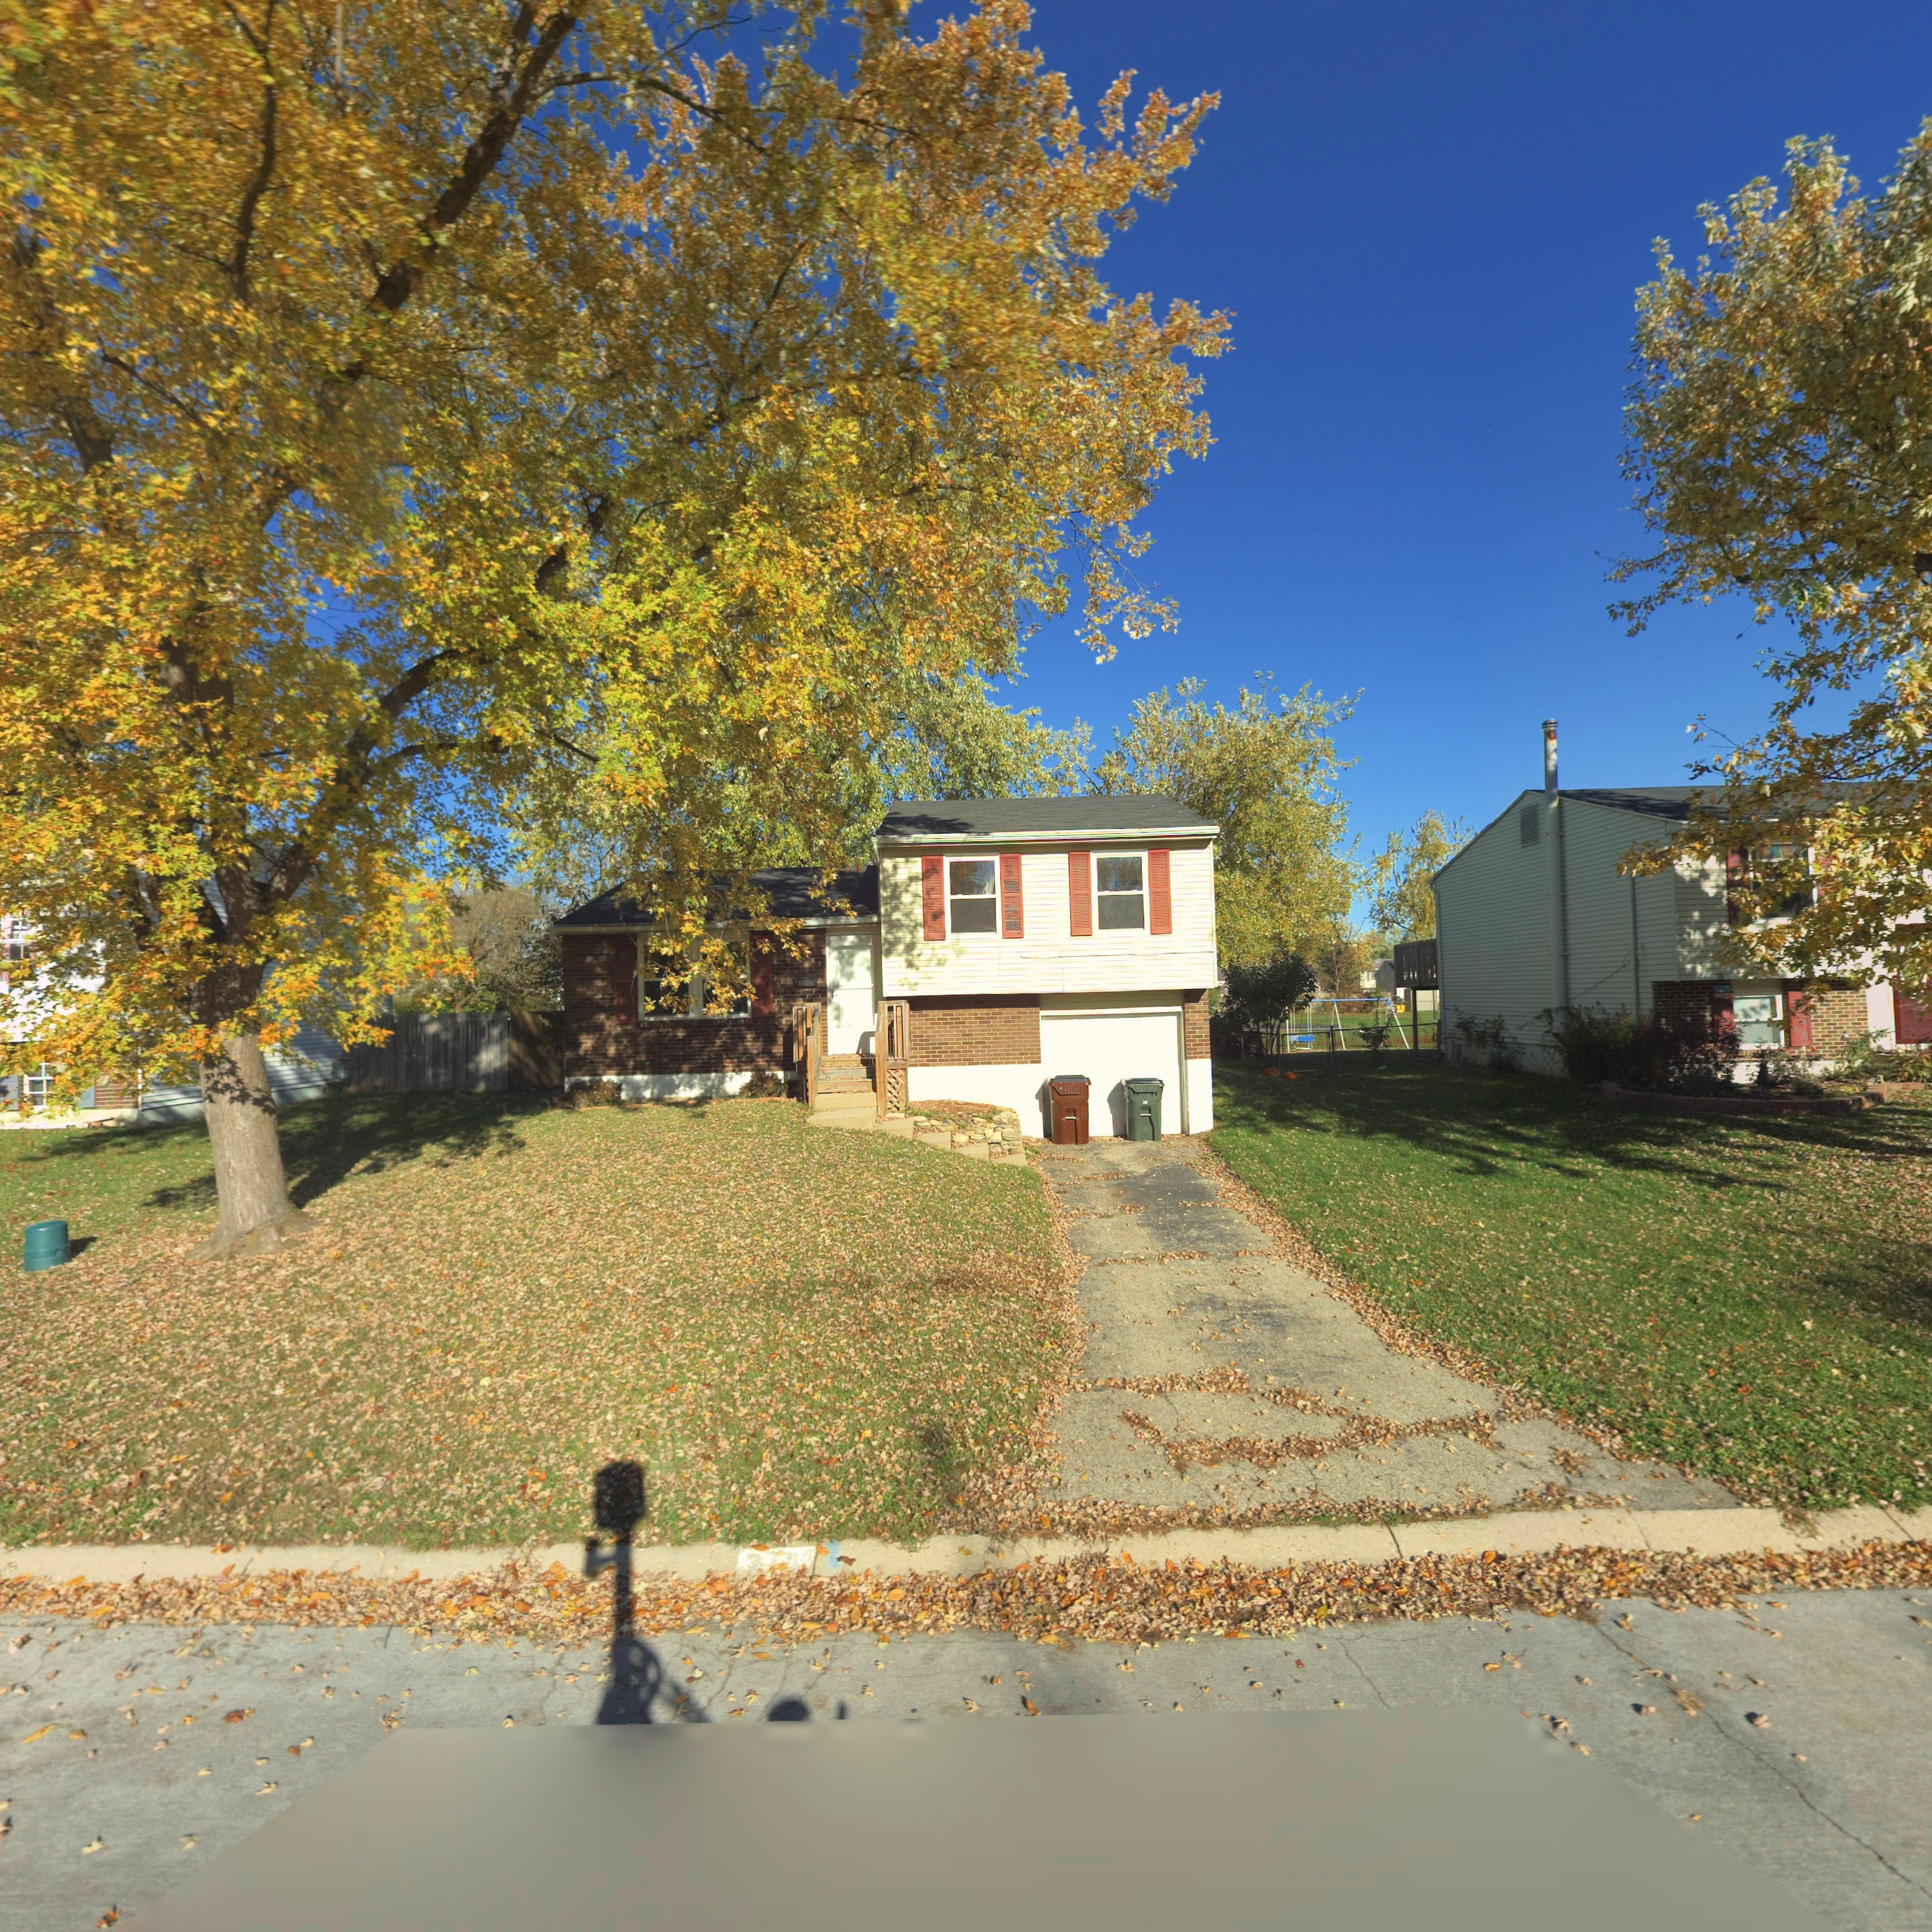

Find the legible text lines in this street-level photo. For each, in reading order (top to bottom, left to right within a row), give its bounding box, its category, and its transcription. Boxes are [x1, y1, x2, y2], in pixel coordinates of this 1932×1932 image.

[798, 980, 807, 986] StreetNumber: 118